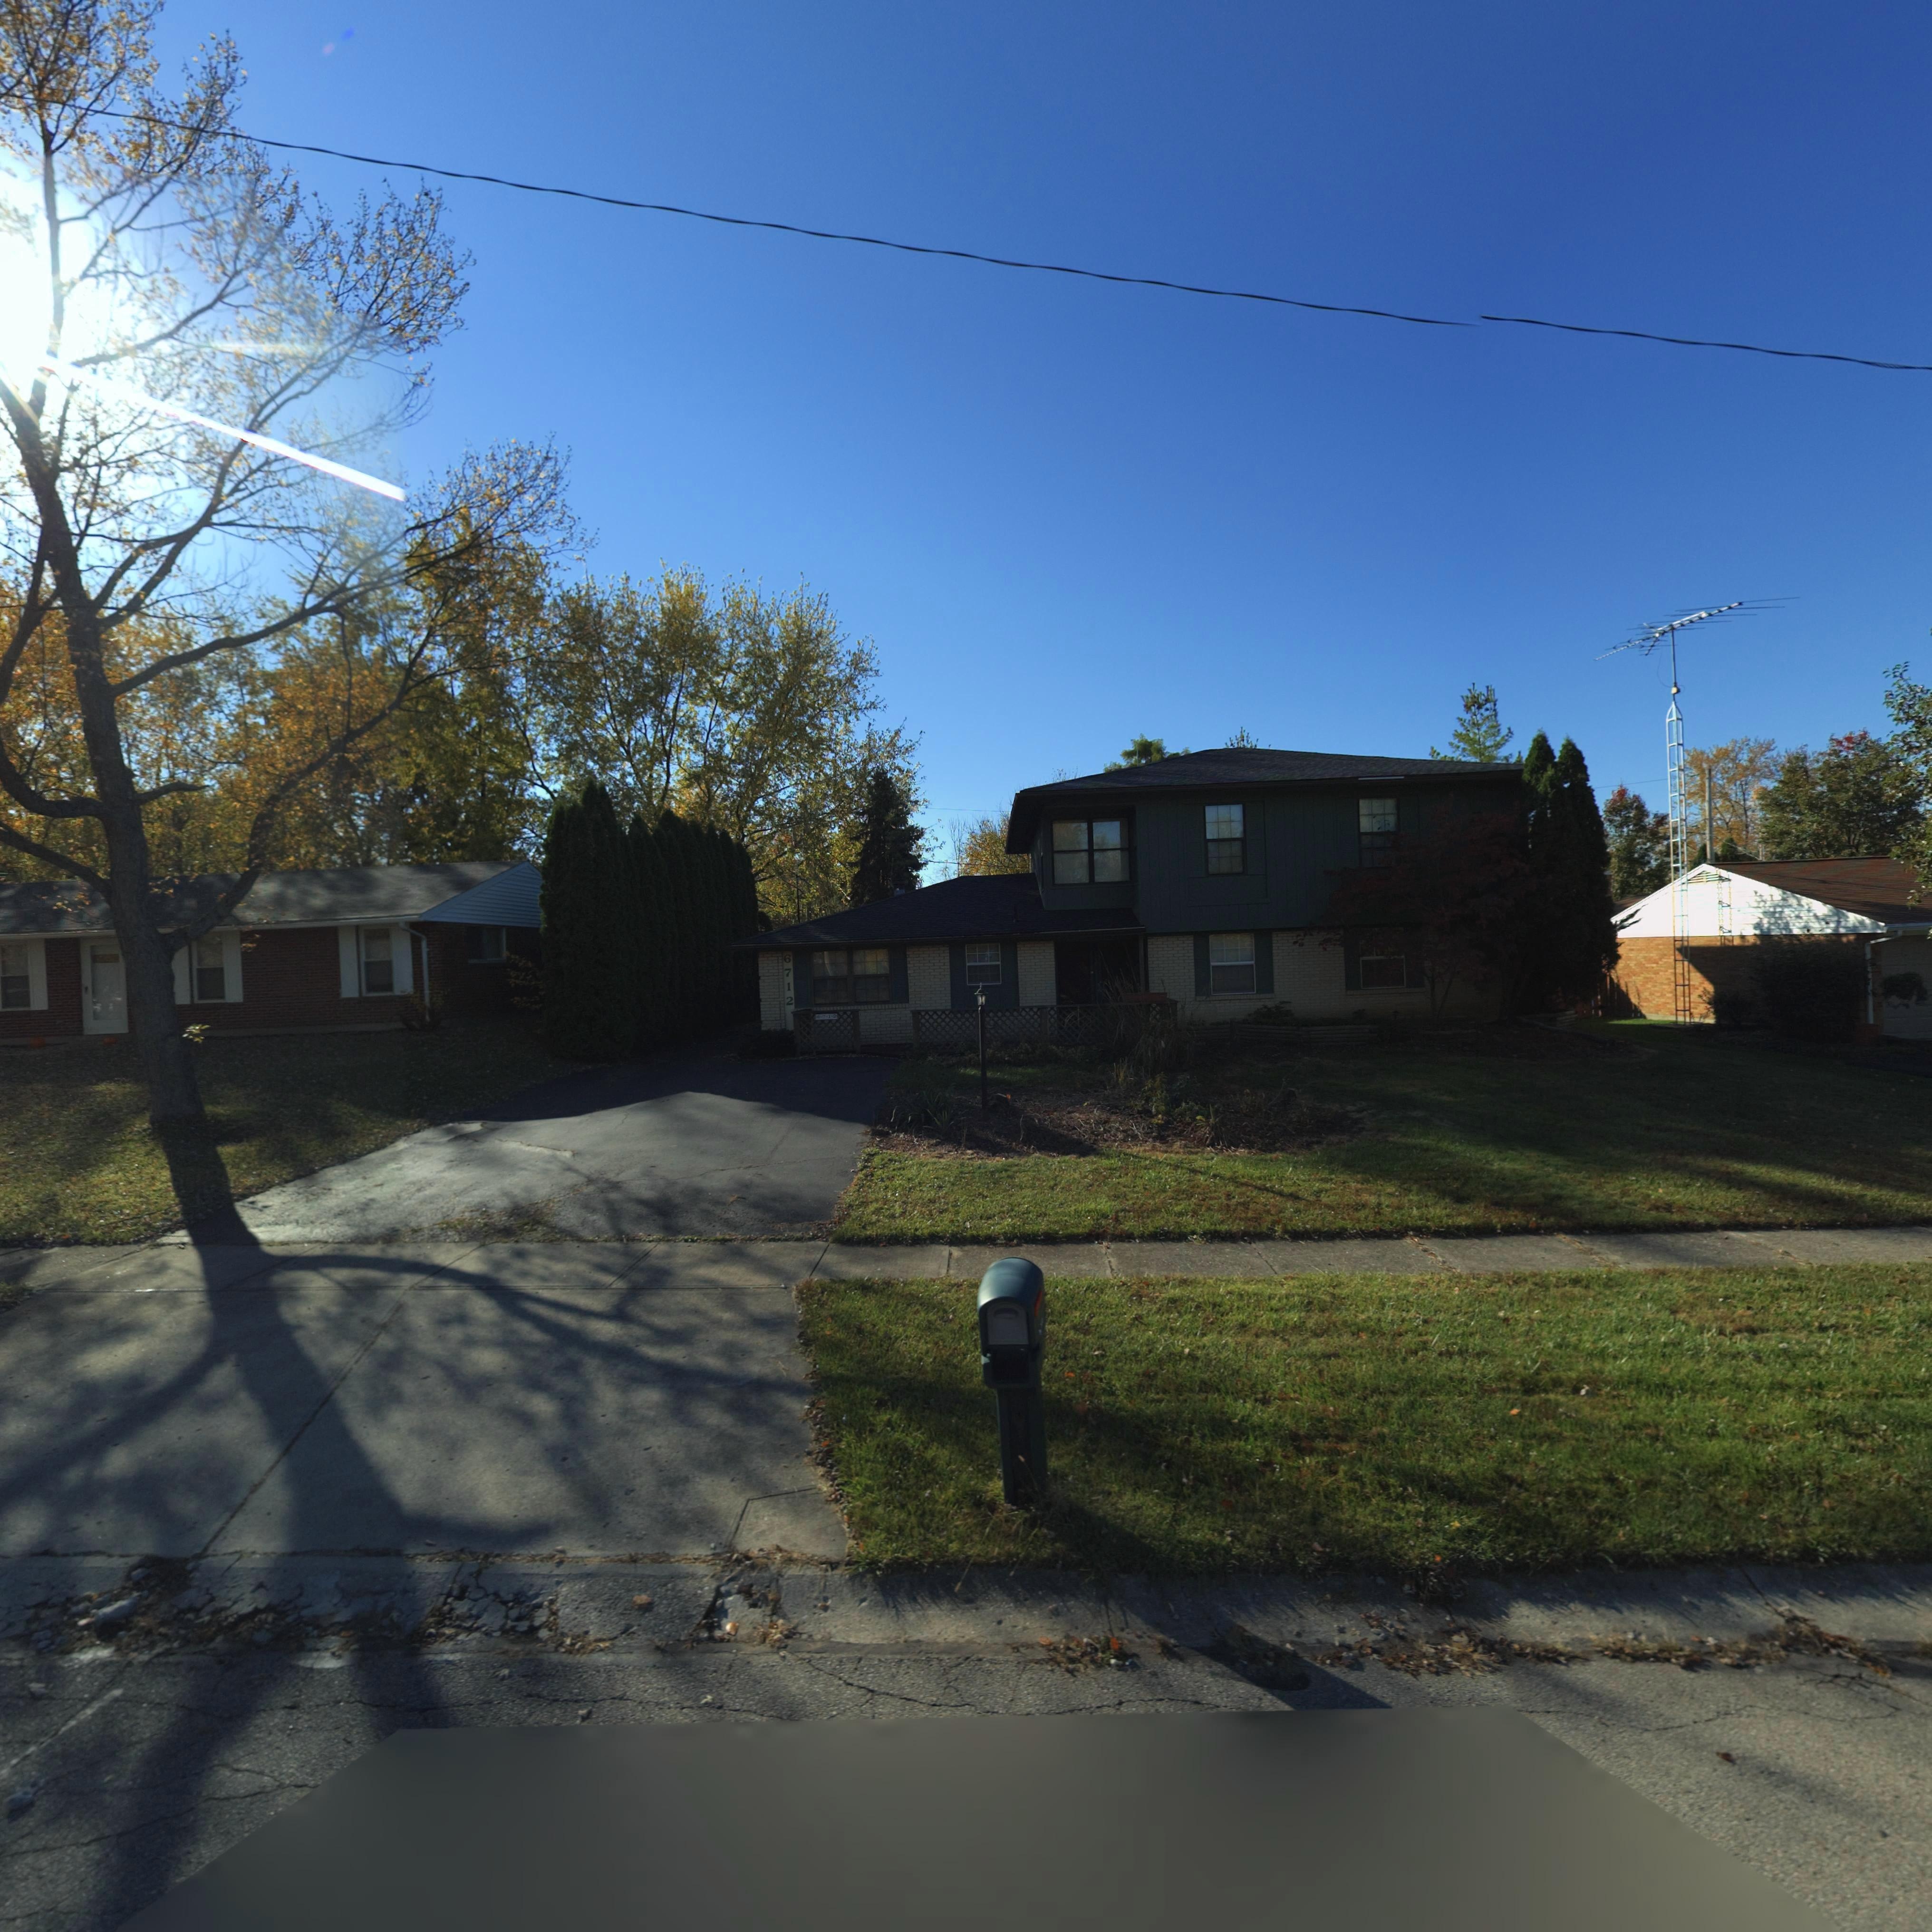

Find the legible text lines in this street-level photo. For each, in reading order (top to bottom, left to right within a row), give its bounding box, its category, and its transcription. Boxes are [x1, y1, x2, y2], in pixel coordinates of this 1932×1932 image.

[783, 953, 794, 1007] StreetNumber: 6712